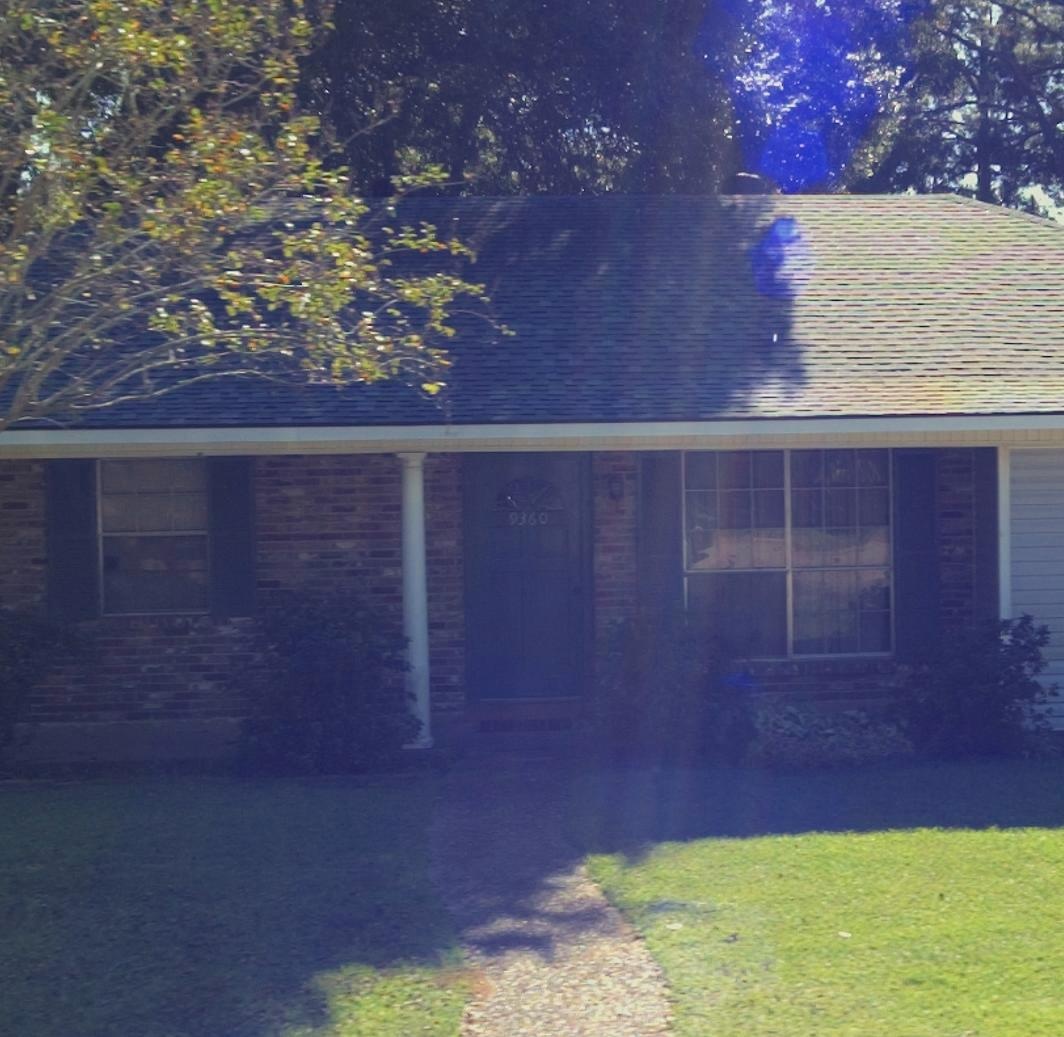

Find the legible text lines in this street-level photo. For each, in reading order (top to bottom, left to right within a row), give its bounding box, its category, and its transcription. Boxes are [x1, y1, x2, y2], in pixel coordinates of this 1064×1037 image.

[506, 511, 549, 526] StreetNumber: 9360